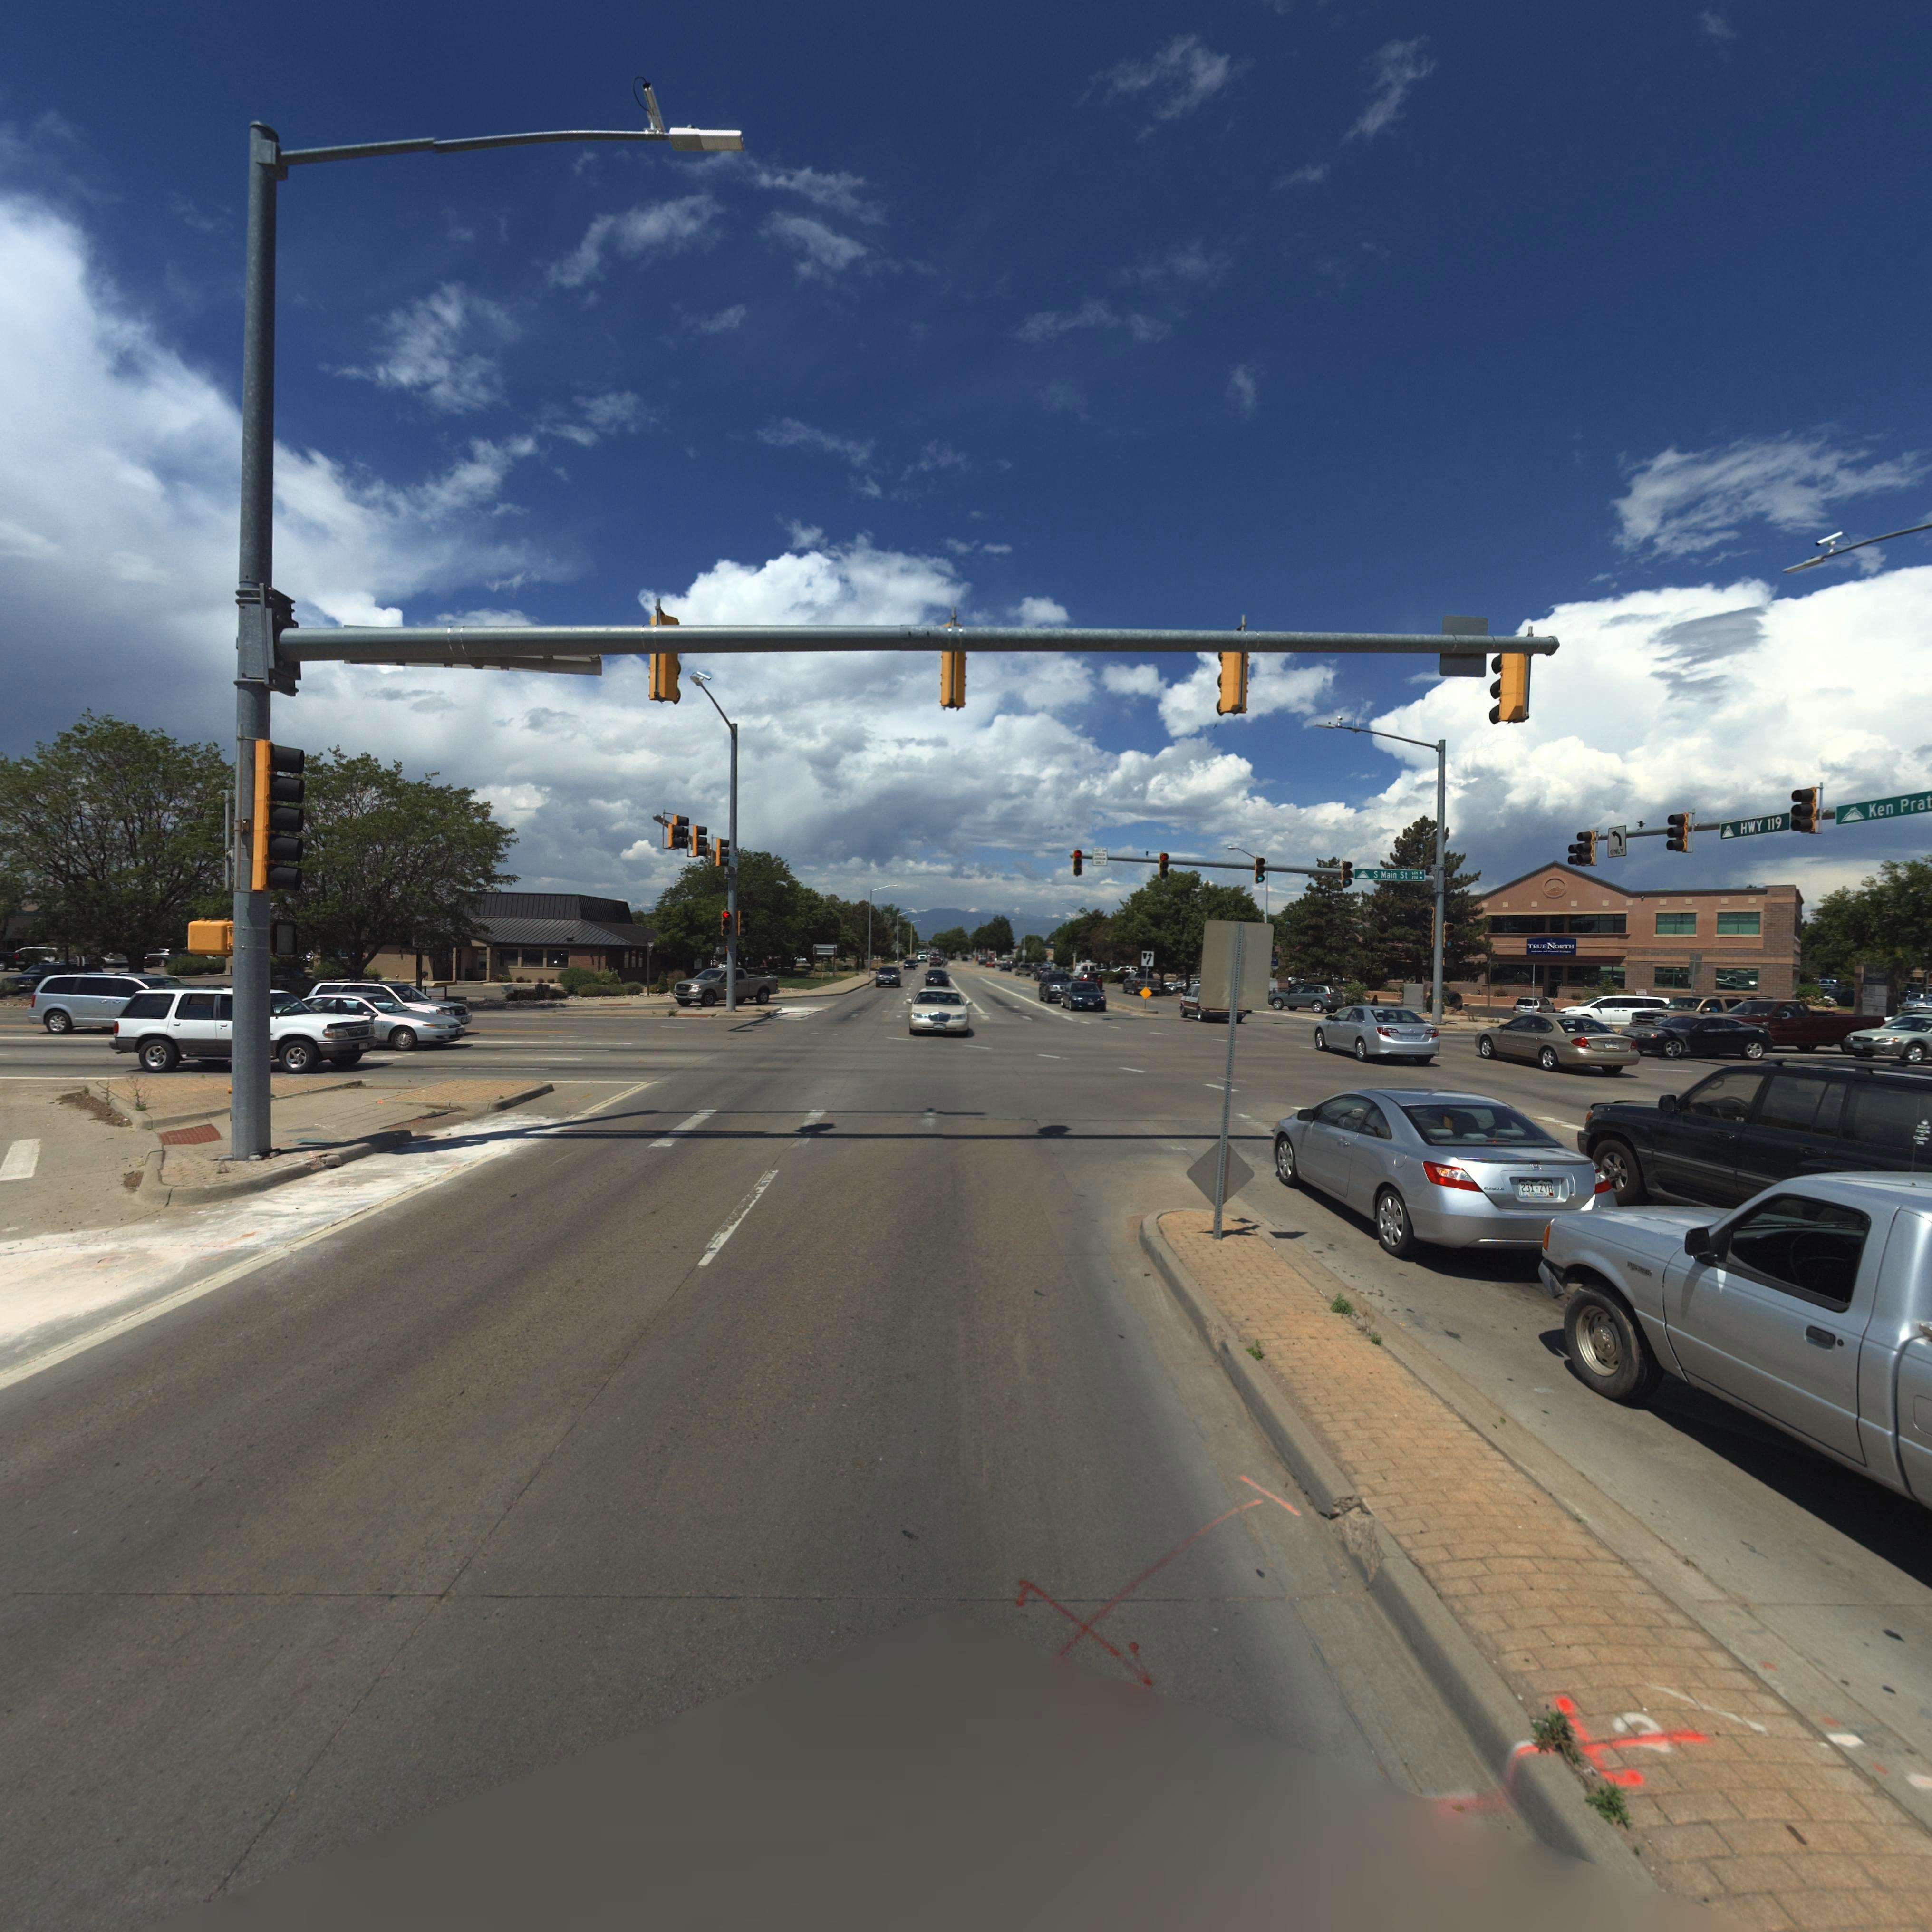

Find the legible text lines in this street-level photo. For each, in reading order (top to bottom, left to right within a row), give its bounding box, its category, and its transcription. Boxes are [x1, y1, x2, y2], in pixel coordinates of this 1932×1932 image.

[1868, 795, 1931, 818] StreetName: Ken Prat
[1740, 816, 1782, 834] StreetName: HWY 119
[1373, 870, 1407, 879] StreetName: S Main St
[1411, 871, 1418, 875] StreetNumberRange: *00
[1411, 875, 1423, 879] StreetNumberRange: *00->
[1527, 942, 1574, 949] BusinessName: TRUENORTH